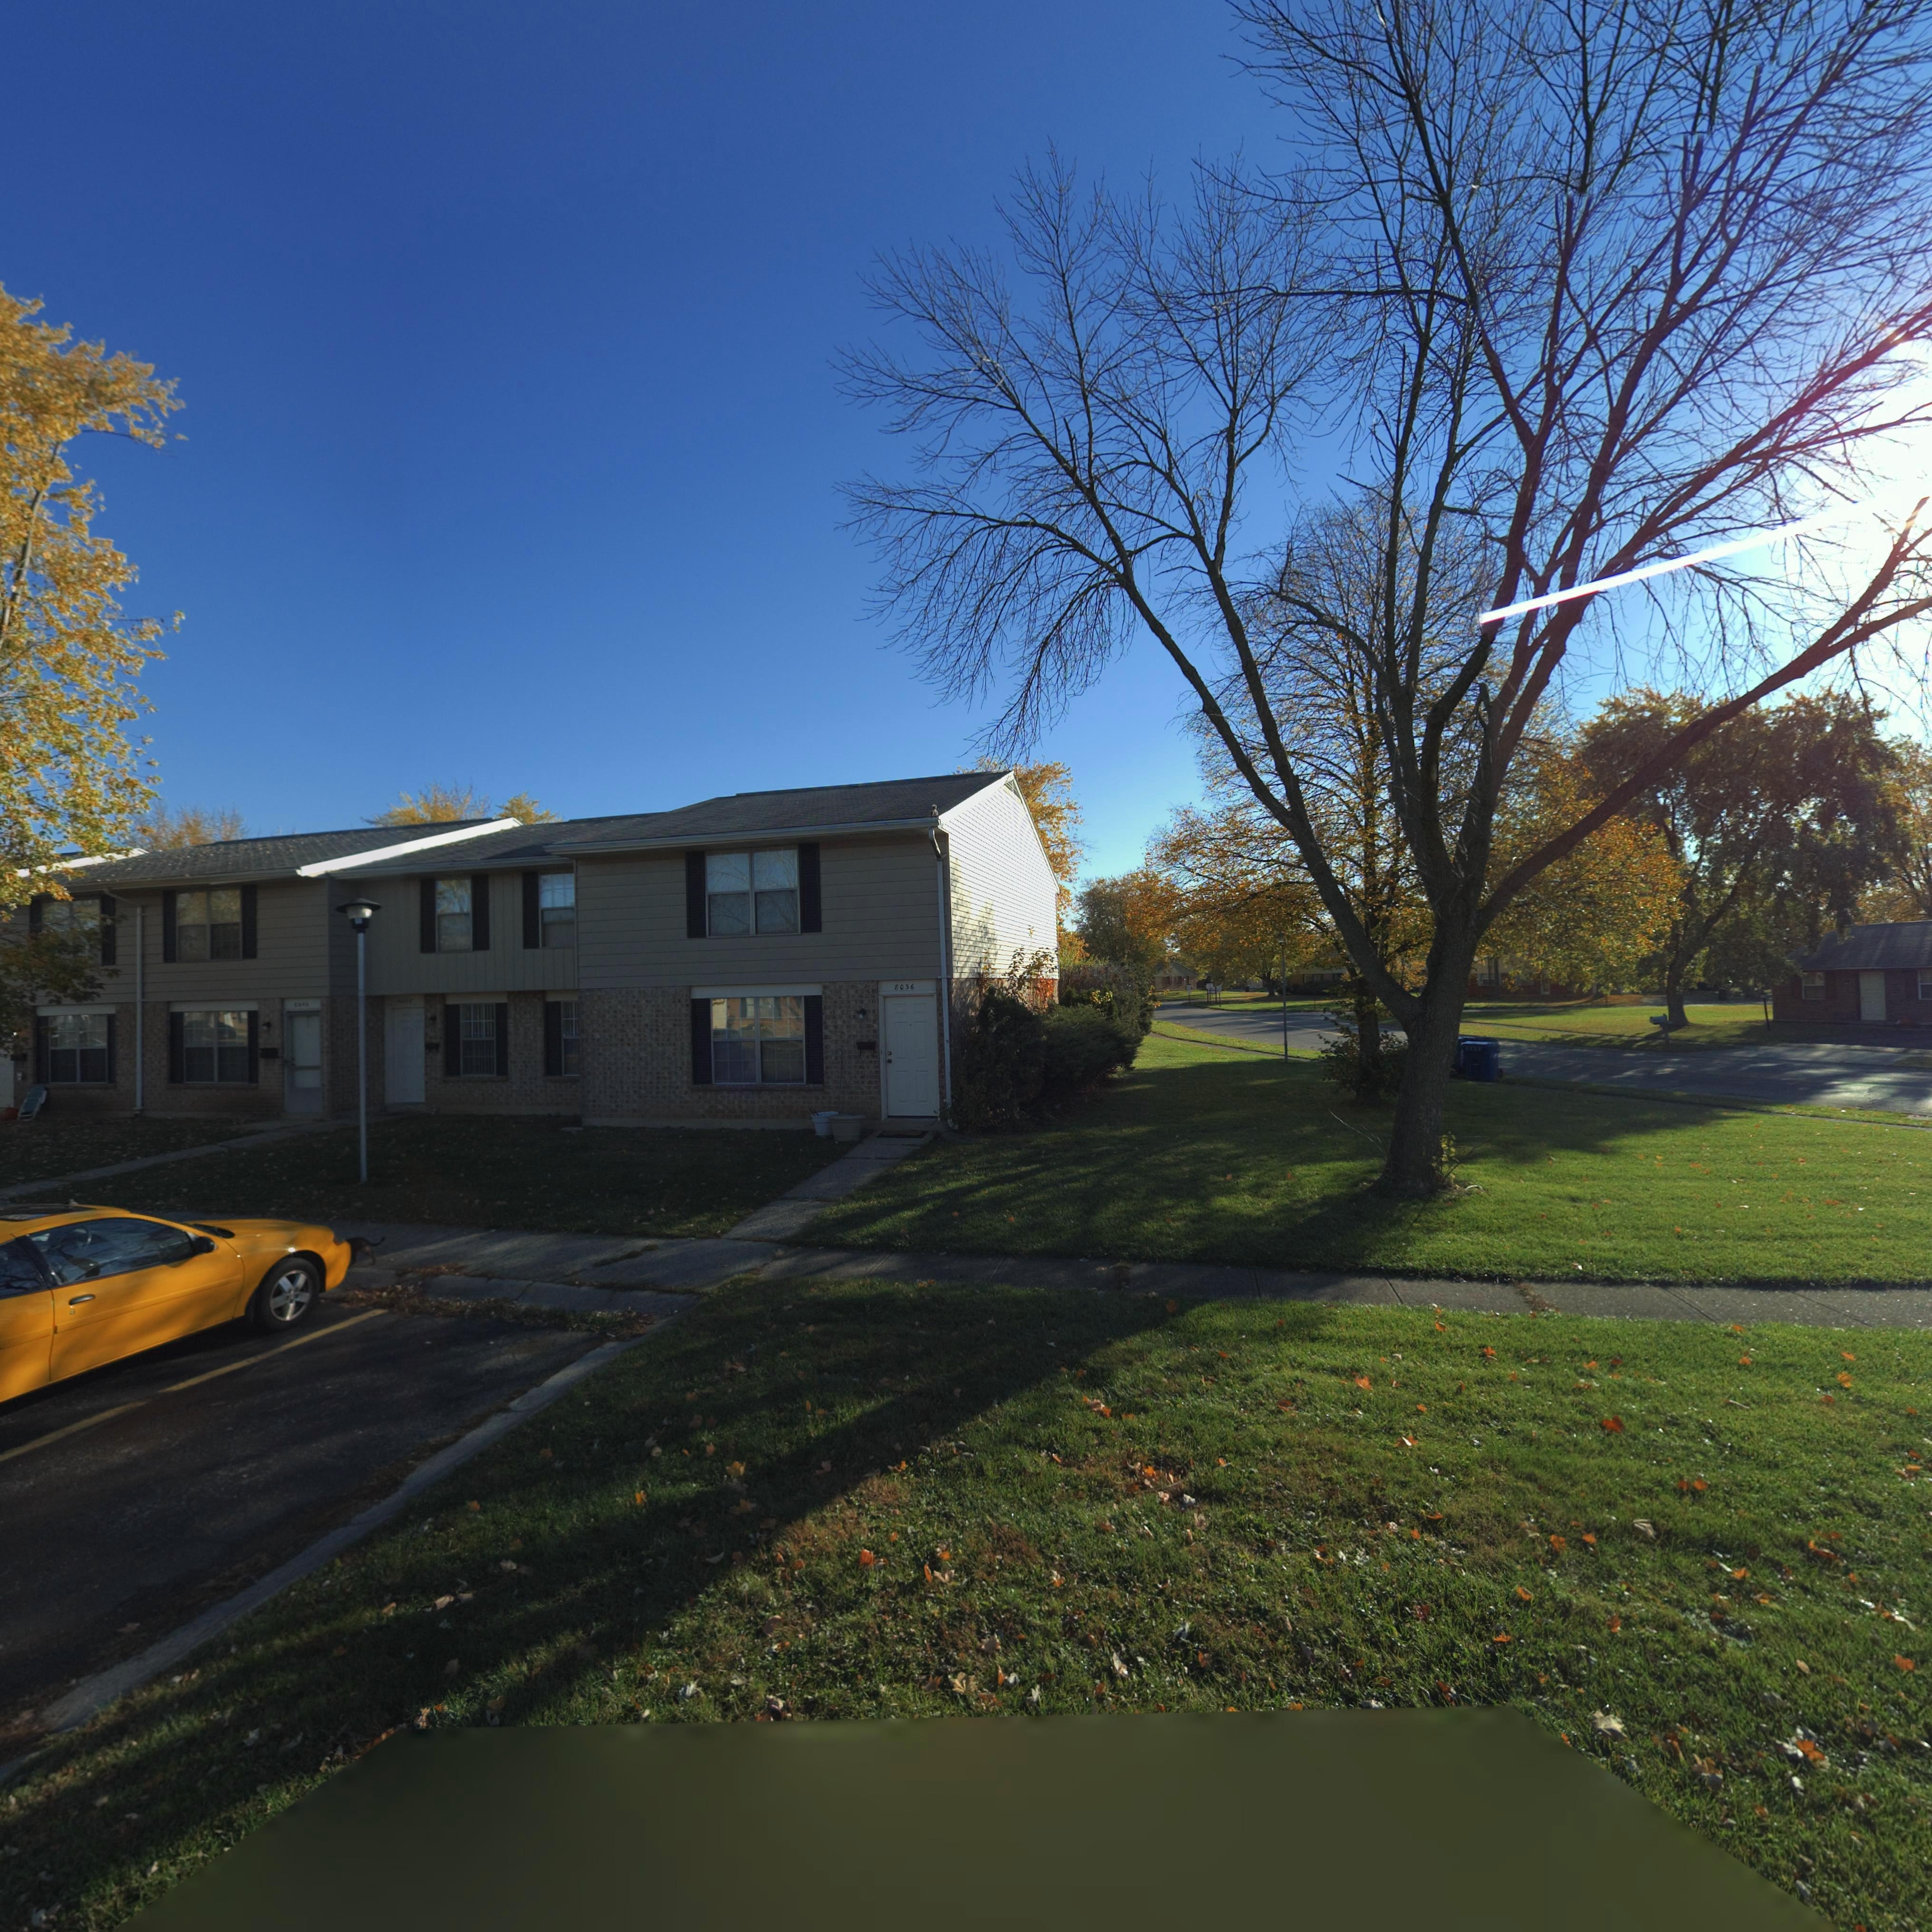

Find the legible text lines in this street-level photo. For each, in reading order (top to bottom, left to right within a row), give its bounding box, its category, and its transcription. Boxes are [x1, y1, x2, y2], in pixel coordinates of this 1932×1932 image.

[893, 982, 916, 991] StreetNumber: 8036